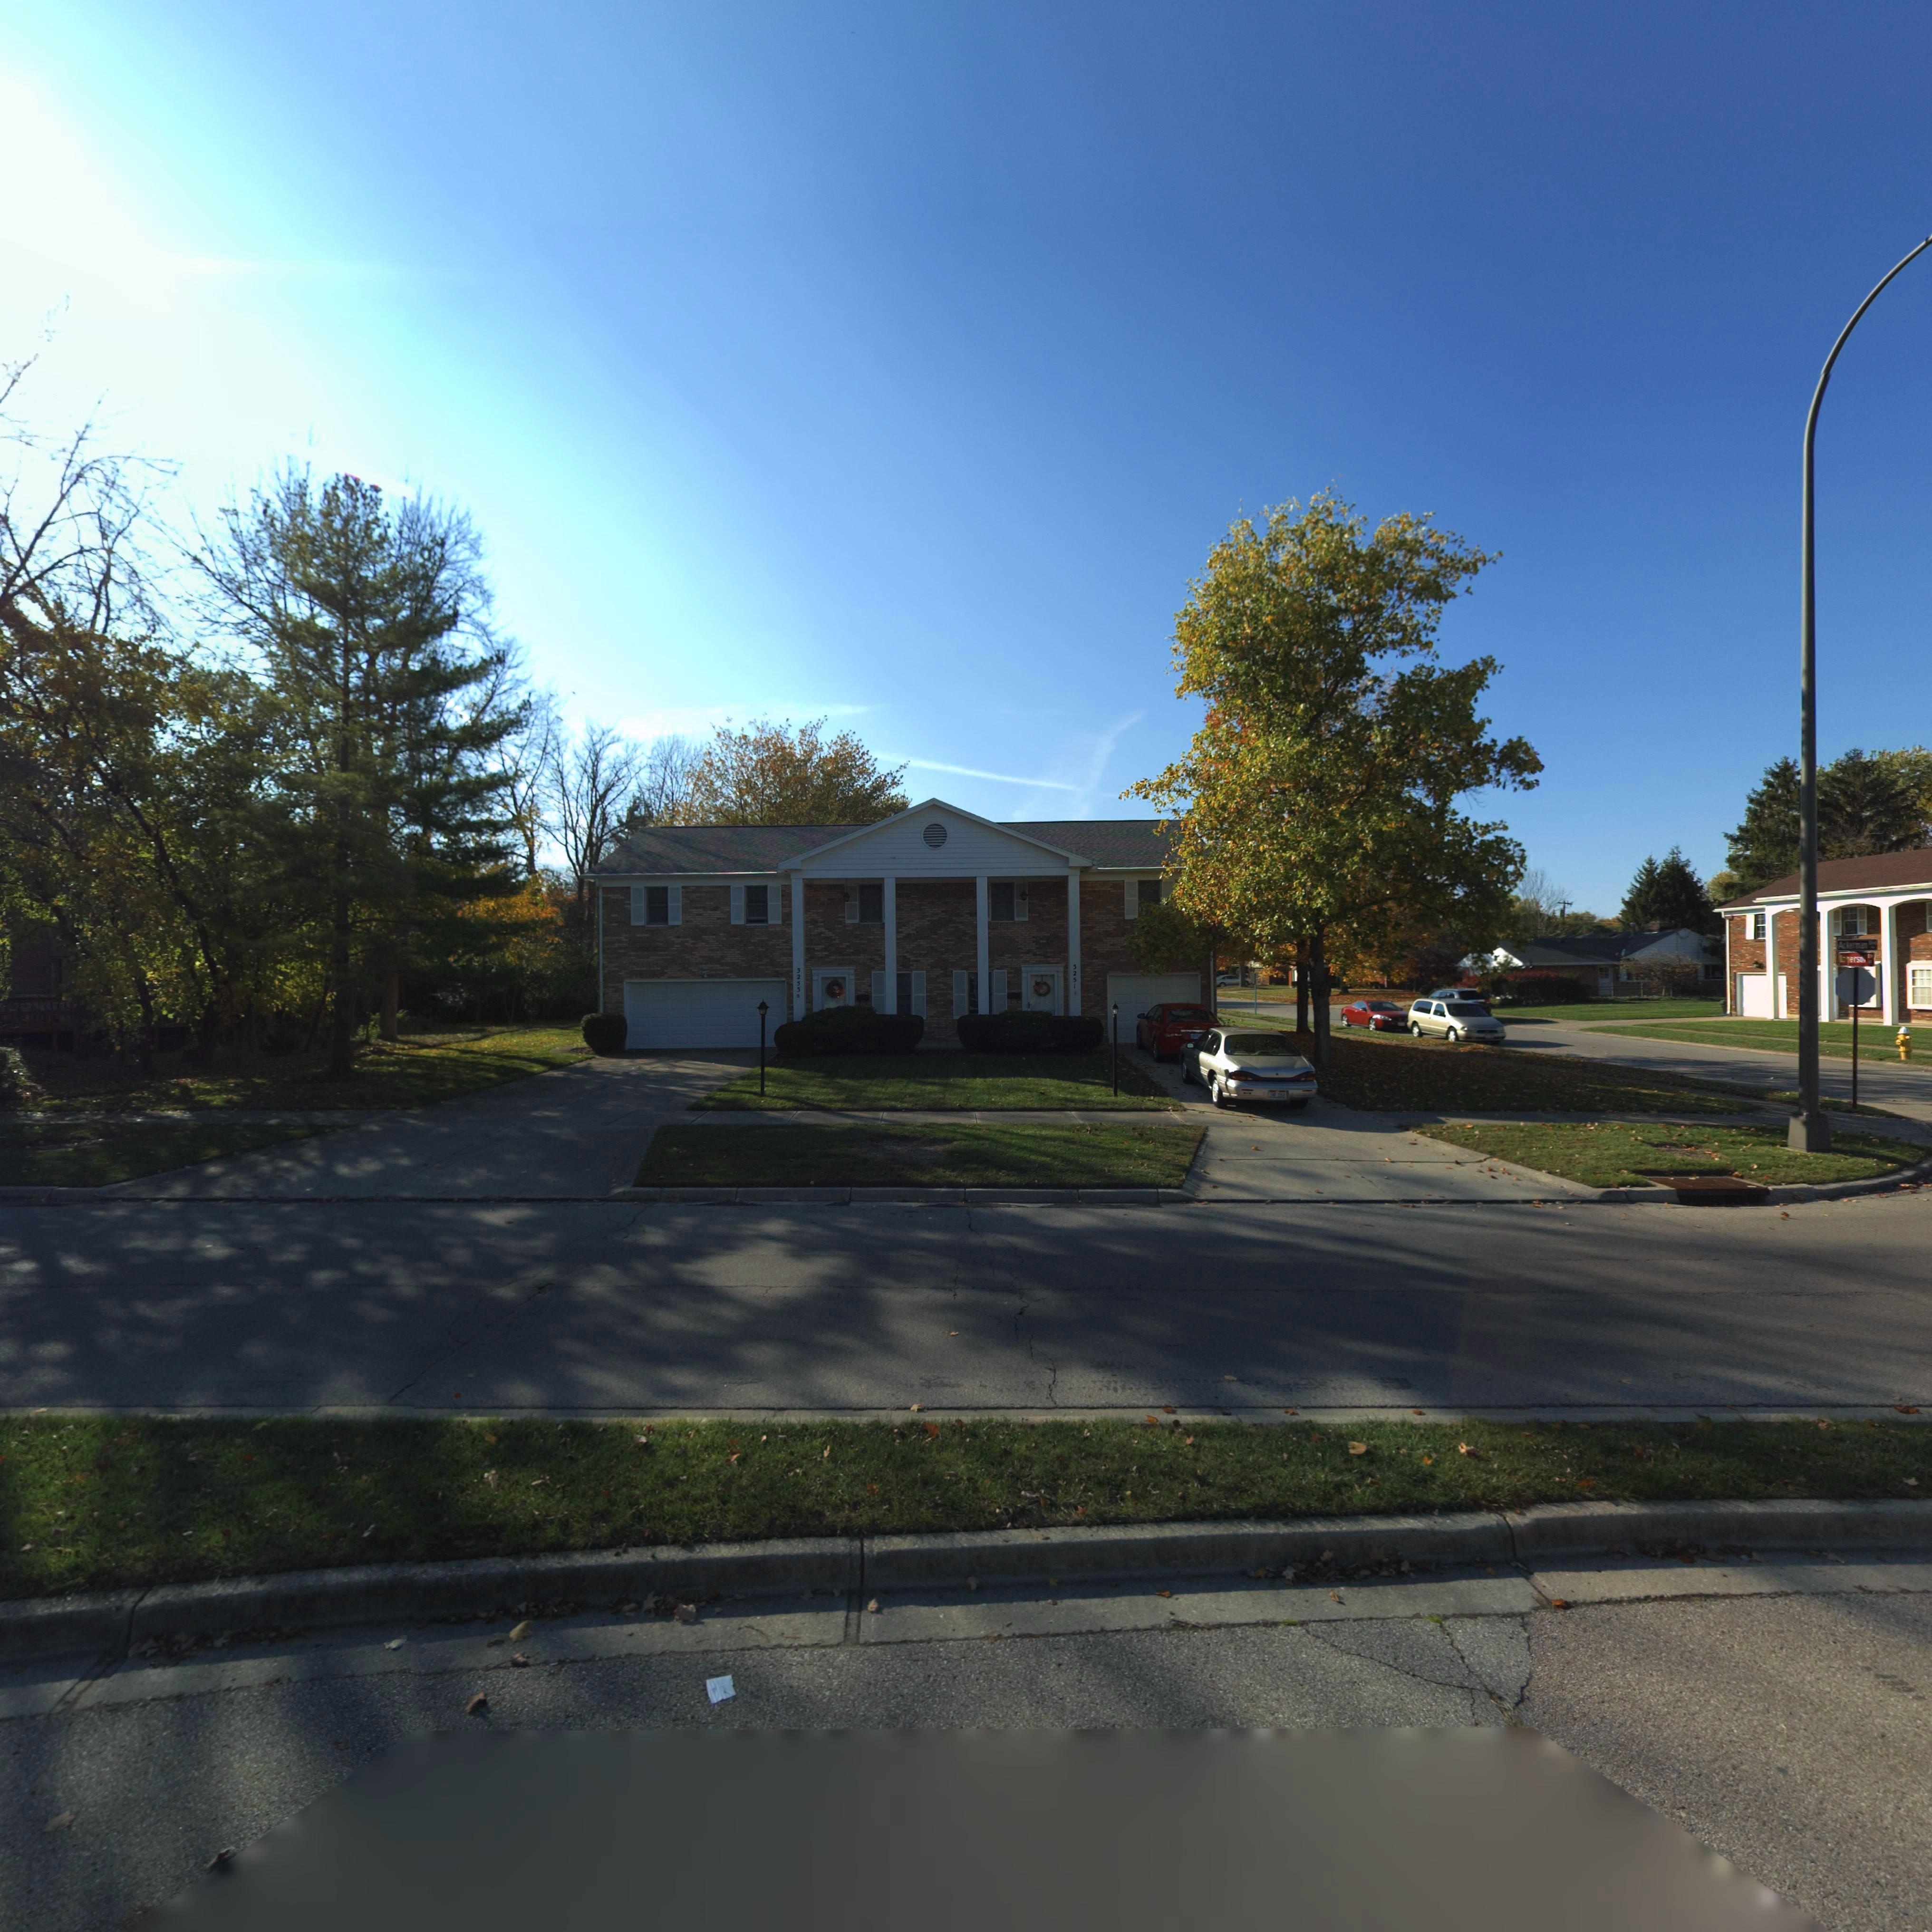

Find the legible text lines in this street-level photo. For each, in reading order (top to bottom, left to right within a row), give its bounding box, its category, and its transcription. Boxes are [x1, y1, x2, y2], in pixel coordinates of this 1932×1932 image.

[1838, 941, 1868, 949] StreetName: Ackerman
[1849, 956, 1864, 963] StreetName: erso
[796, 967, 801, 993] StreetNumber: 3253
[1072, 964, 1077, 989] StreetNumber: 3251